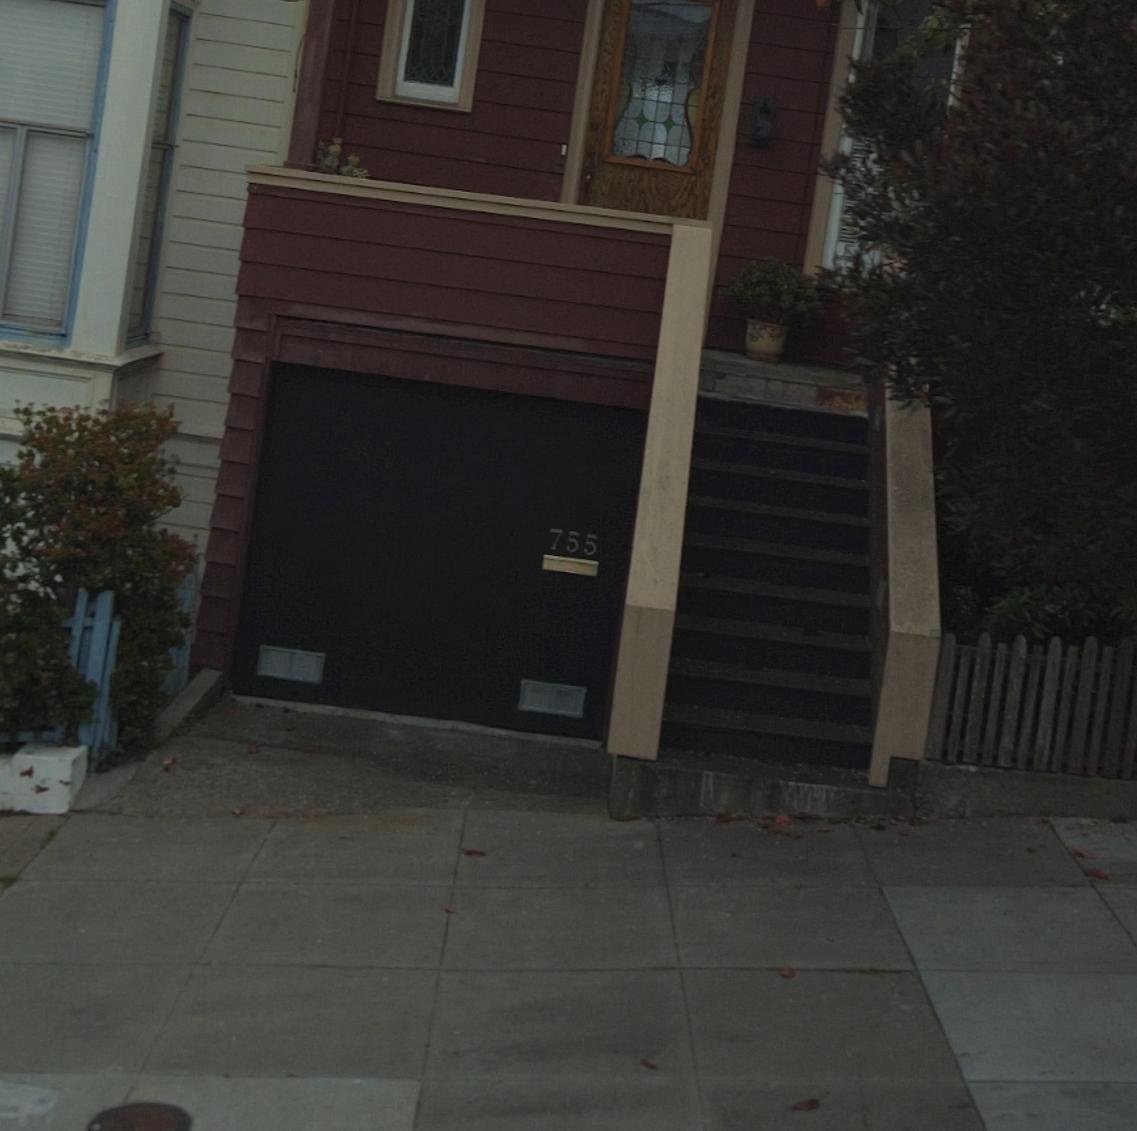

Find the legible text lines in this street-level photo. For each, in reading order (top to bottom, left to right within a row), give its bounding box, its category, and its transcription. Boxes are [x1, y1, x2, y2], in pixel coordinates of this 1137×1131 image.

[545, 527, 601, 558] StreetNumber: 755